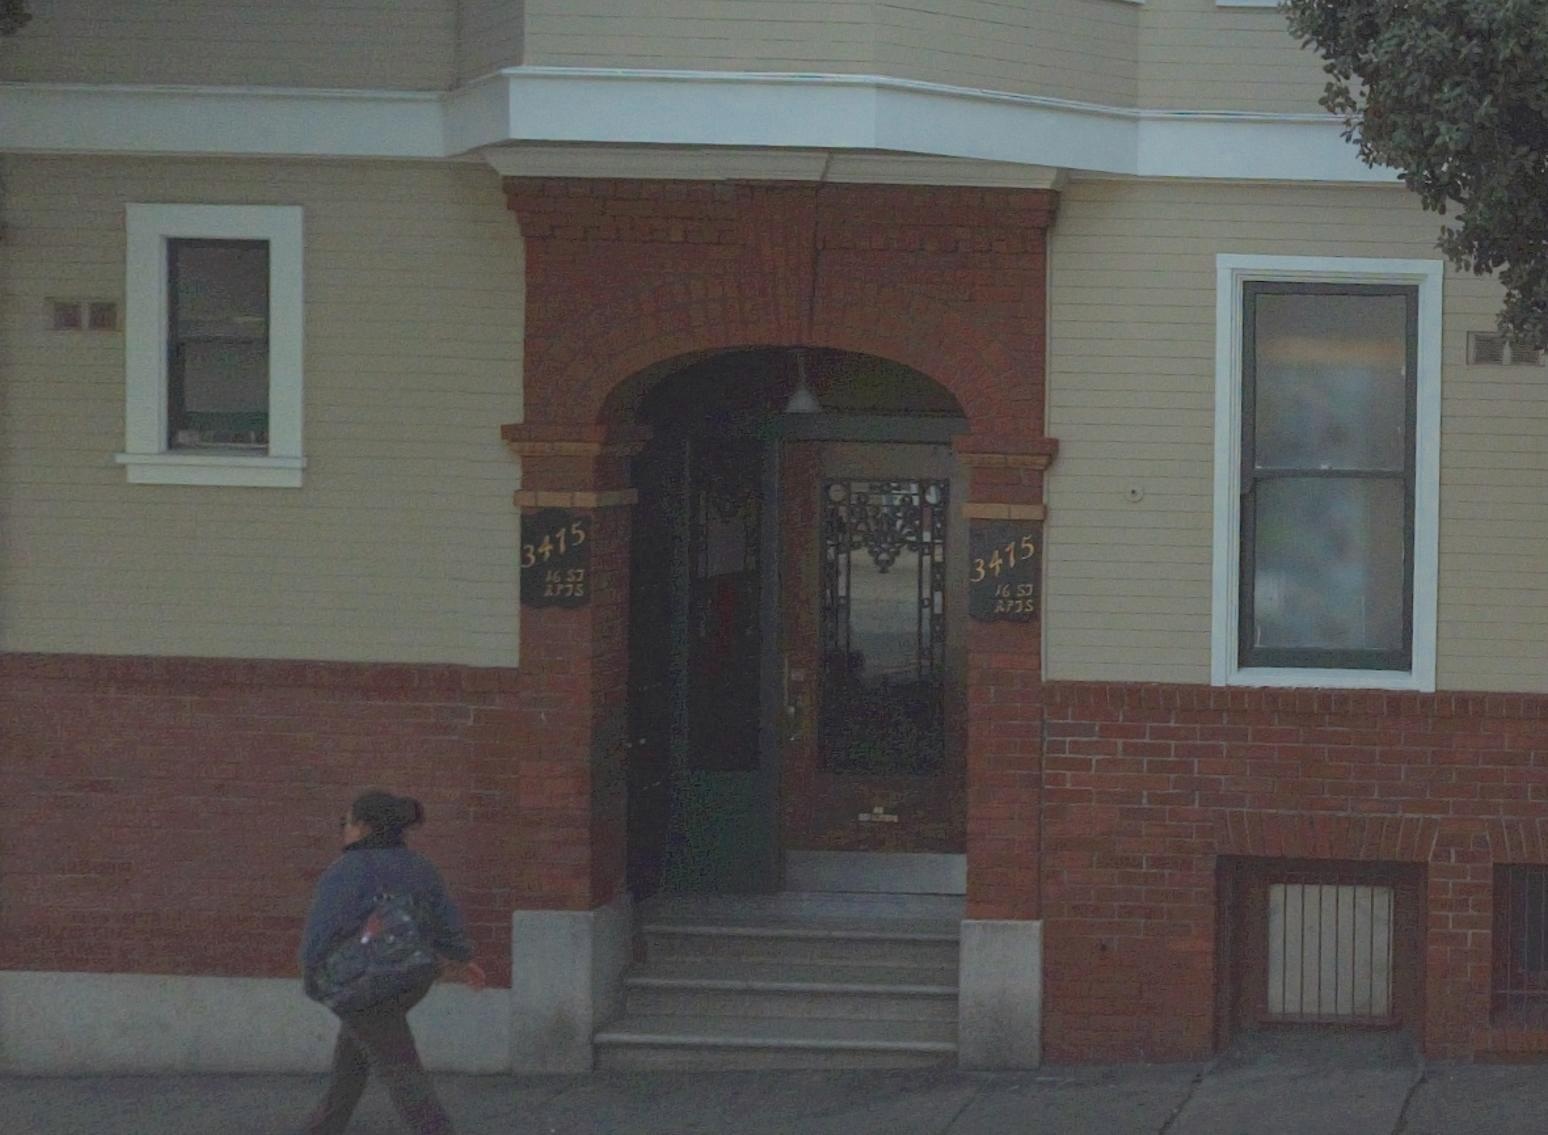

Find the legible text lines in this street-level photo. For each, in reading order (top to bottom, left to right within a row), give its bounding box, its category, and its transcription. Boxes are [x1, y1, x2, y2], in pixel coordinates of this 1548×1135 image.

[520, 517, 588, 573] StreetNumber: 3475
[970, 529, 1040, 588] StreetNumber: 3475
[543, 567, 587, 585] StreetName: 16 ST
[542, 582, 586, 601] None: APTS
[994, 582, 1036, 598] StreetName: 16 ST
[992, 597, 1037, 615] None: APTS